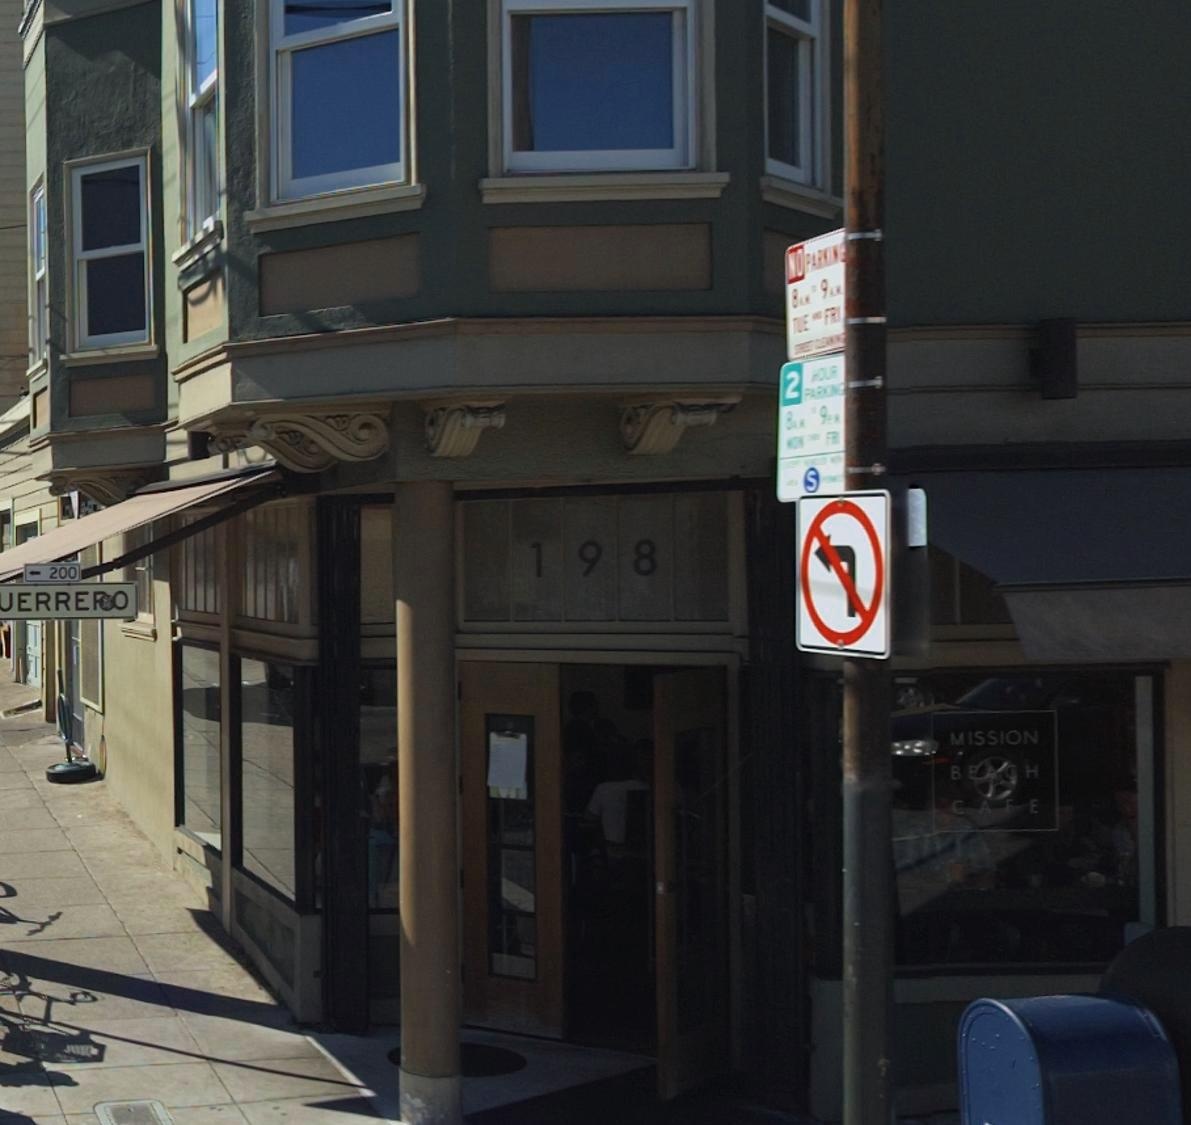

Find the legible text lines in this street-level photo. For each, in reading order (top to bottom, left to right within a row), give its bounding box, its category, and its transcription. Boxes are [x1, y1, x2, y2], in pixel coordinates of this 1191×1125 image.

[785, 240, 848, 281] None: NO PARKING
[790, 287, 799, 309] None: 8
[819, 278, 830, 301] None: 9
[790, 312, 810, 335] None: TUE
[823, 304, 843, 327] None: FRI
[783, 369, 802, 400] None: 2
[810, 364, 838, 383] None: HOUR
[802, 382, 846, 402] None: PARKING
[785, 410, 794, 433] None: 8
[818, 404, 828, 427] None: 9
[805, 469, 818, 494] None: S
[529, 537, 660, 581] StreetNumber: 198
[28, 565, 77, 581] StreetNumberRange: <-200
[15, 589, 130, 614] StreetName: ERRE*O
[949, 729, 1039, 747] BusinessName: MISSION
[949, 763, 1040, 782] BusinessName: BE*CH
[950, 798, 1039, 816] BusinessName: CAFE